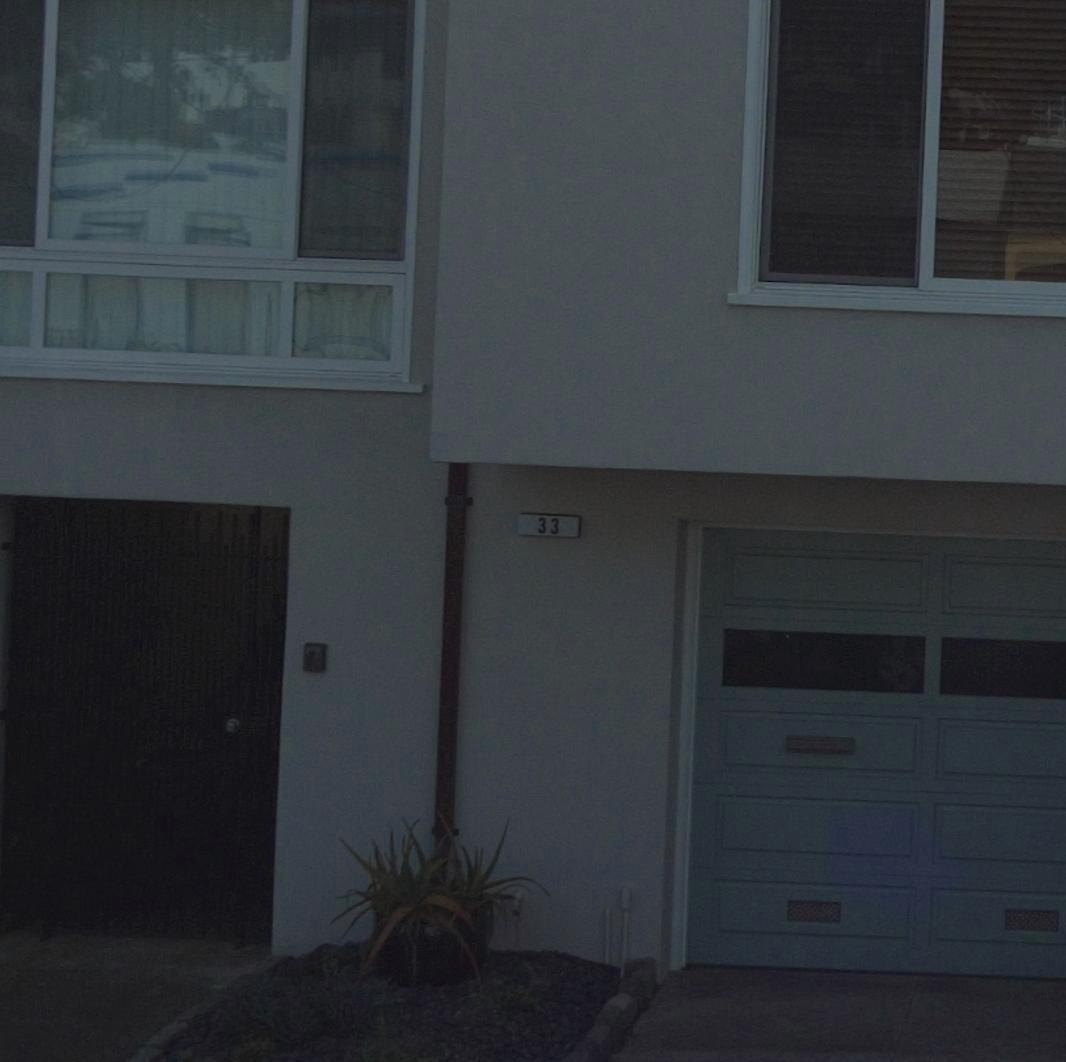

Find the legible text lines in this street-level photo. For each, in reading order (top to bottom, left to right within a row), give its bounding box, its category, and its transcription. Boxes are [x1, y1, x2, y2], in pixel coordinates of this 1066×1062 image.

[537, 516, 560, 535] StreetNumber: 33